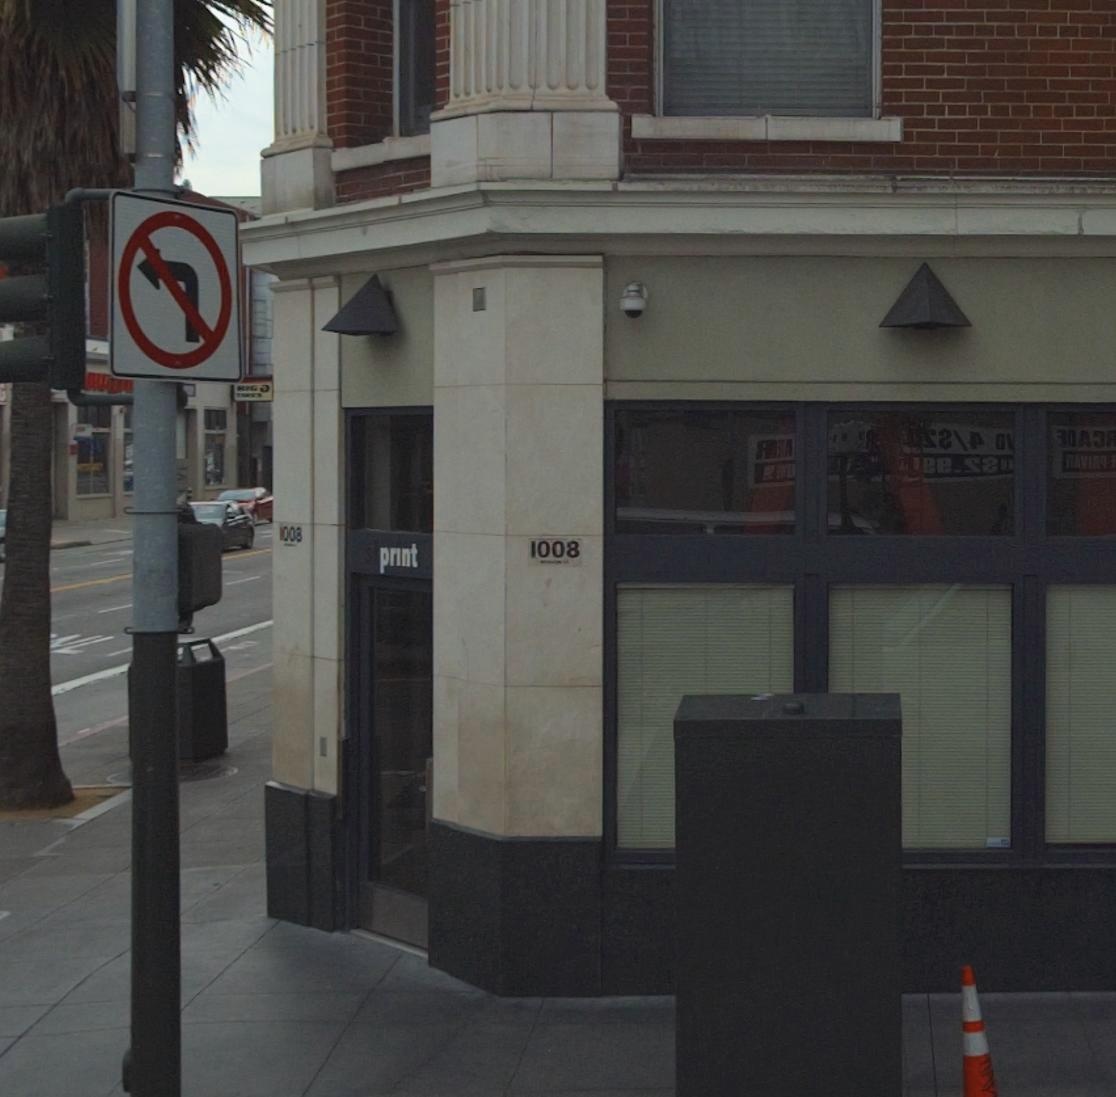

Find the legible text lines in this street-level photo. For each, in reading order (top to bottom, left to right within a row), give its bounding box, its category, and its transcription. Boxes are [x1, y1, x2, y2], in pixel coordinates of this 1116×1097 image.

[1054, 427, 1107, 450] None: **A*
[785, 462, 797, 480] None: O
[922, 455, 984, 476] None: **.*
[1069, 453, 1109, 472] None: AVI**
[278, 524, 303, 544] StreetNumber: *008
[361, 540, 421, 578] BusinessName: s*print
[529, 538, 582, 560] StreetNumber: 1008